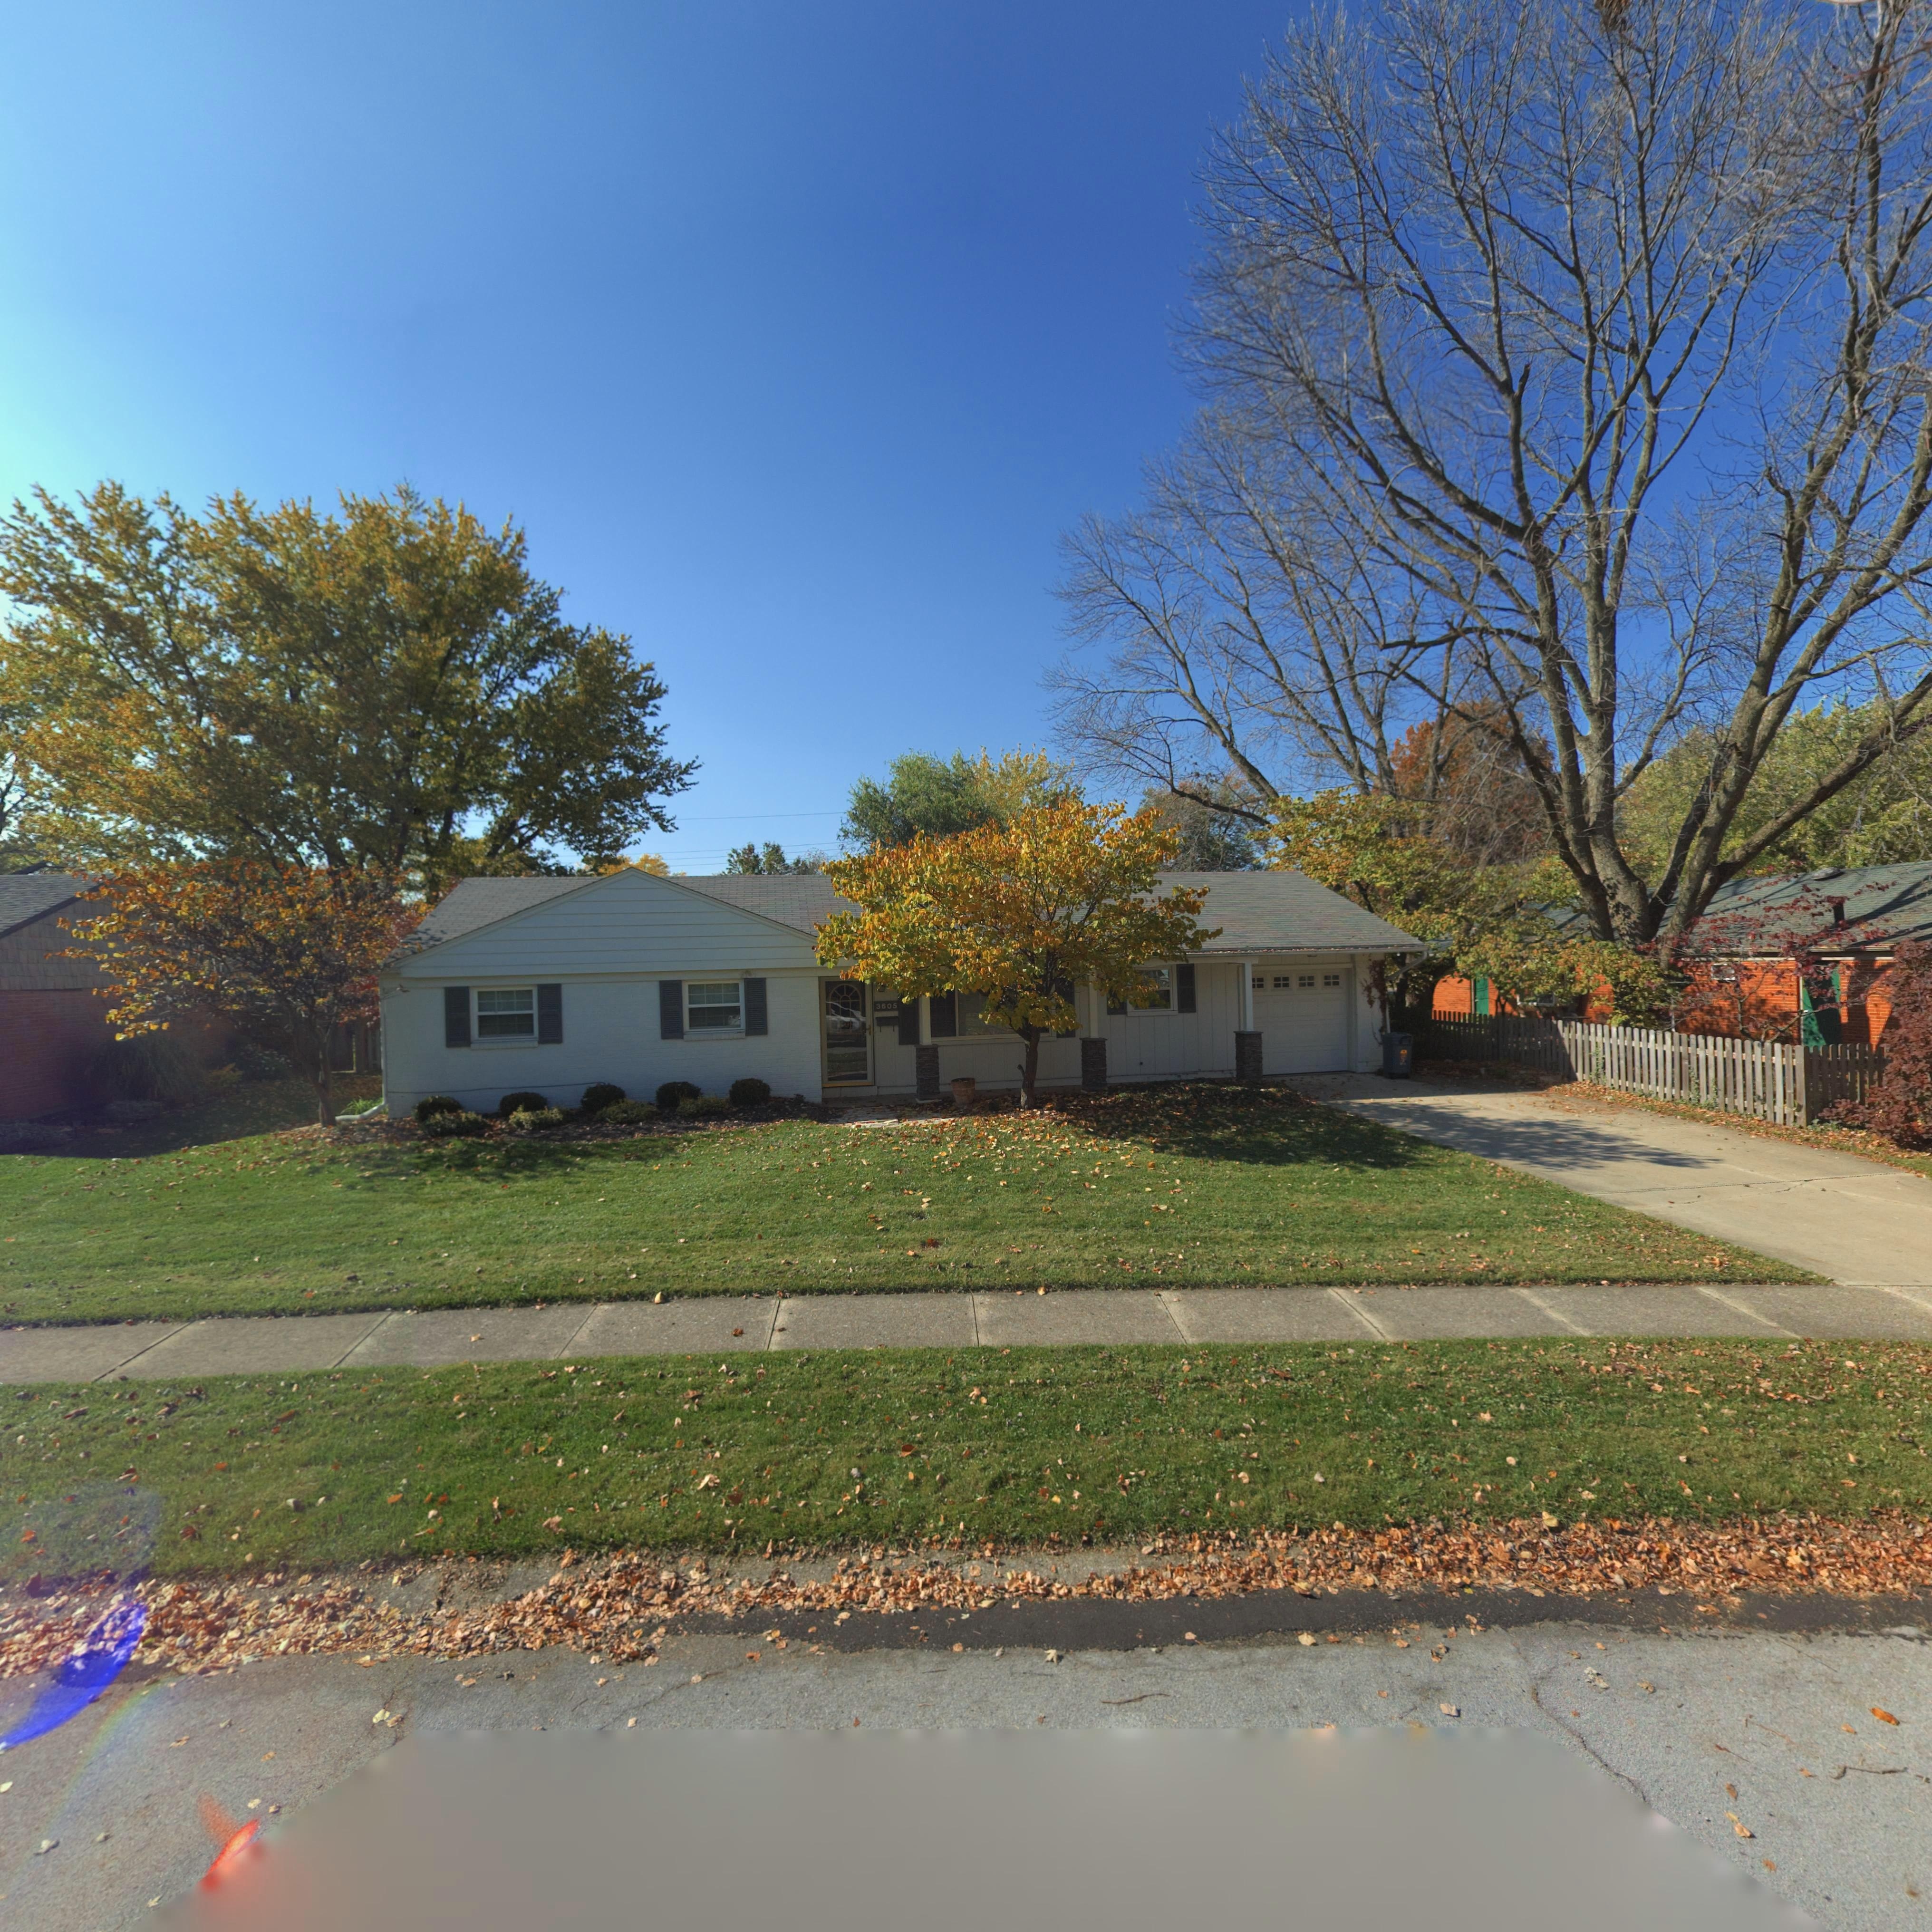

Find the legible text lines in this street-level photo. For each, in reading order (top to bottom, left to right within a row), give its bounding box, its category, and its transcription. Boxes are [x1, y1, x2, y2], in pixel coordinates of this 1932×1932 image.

[875, 1002, 898, 1010] StreetNumber: 3605